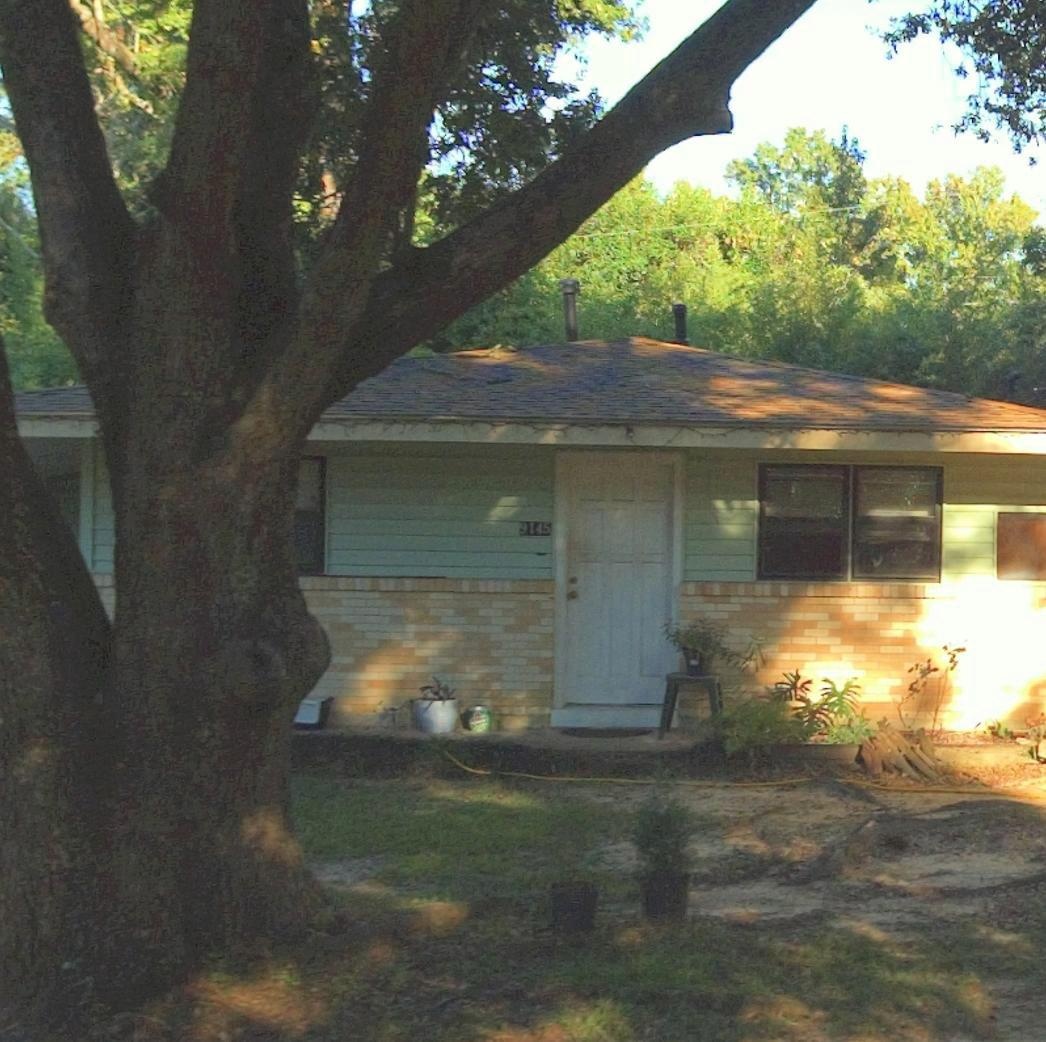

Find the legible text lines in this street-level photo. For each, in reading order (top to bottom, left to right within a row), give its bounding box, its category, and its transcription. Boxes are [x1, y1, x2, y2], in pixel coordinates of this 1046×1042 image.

[519, 521, 551, 535] StreetNumber: 9145